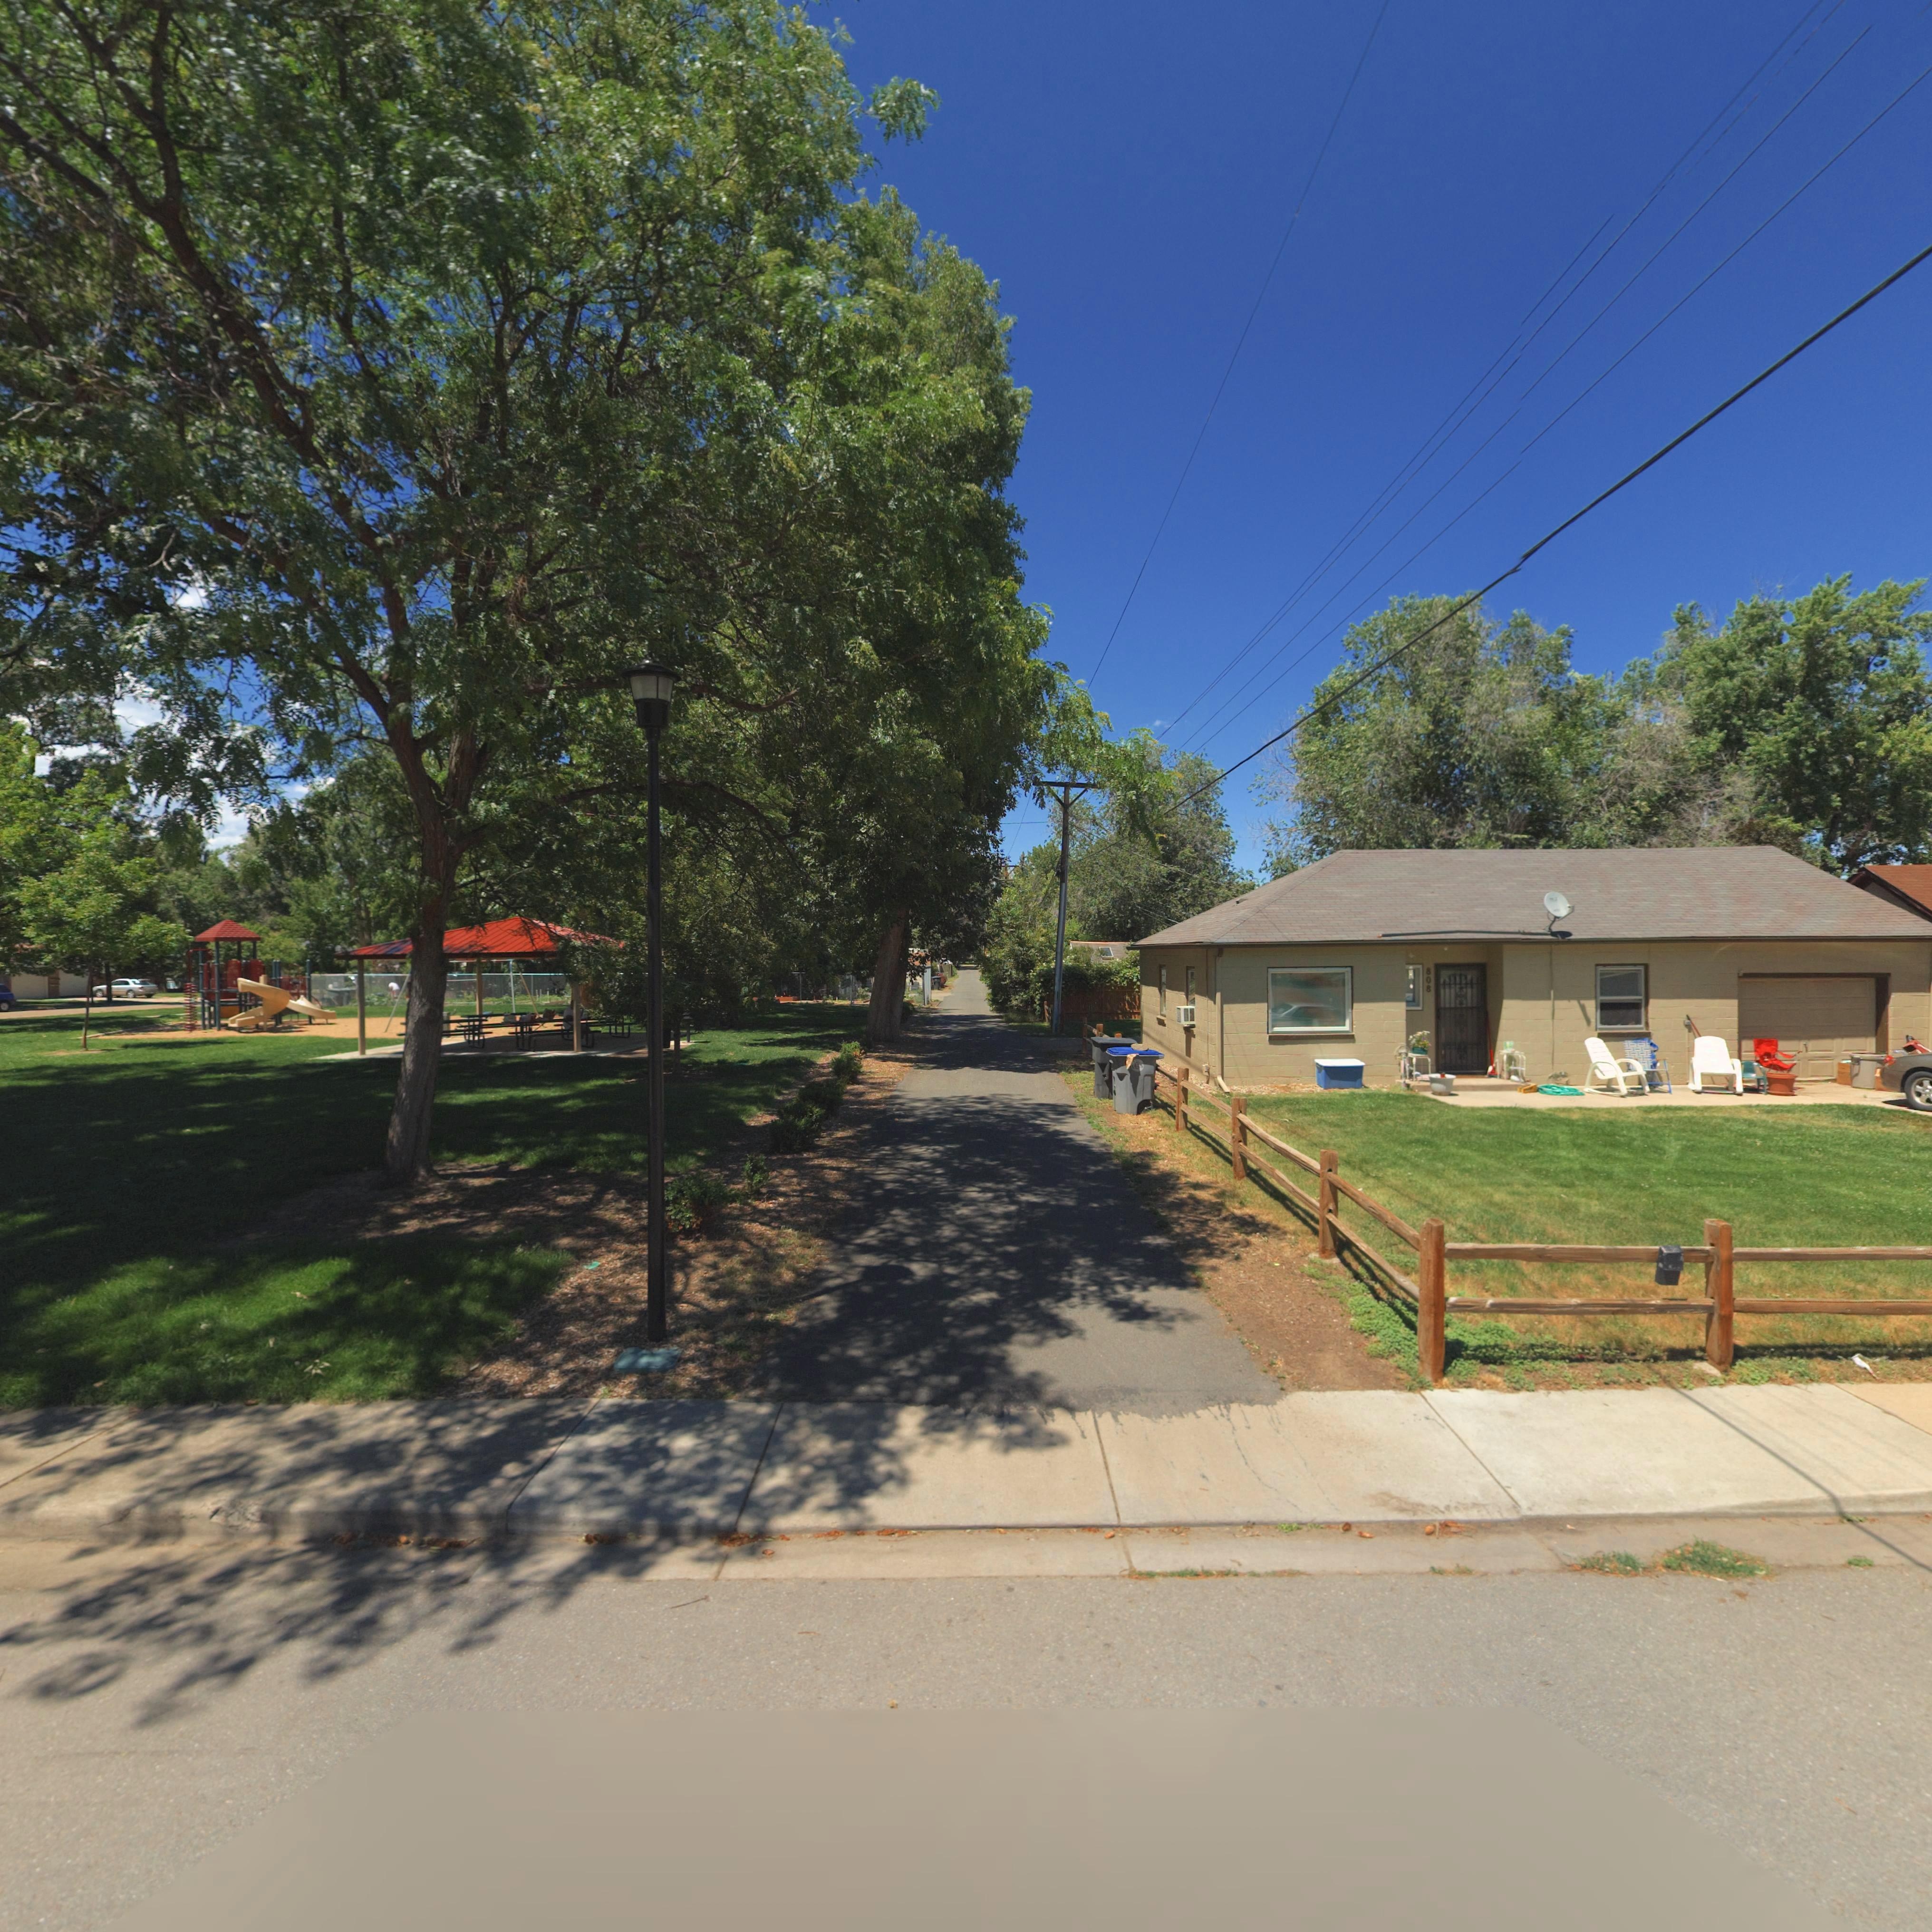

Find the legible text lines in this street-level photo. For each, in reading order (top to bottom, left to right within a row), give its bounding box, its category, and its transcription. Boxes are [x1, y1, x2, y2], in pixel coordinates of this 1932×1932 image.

[1426, 967, 1431, 992] StreetNumber: 808